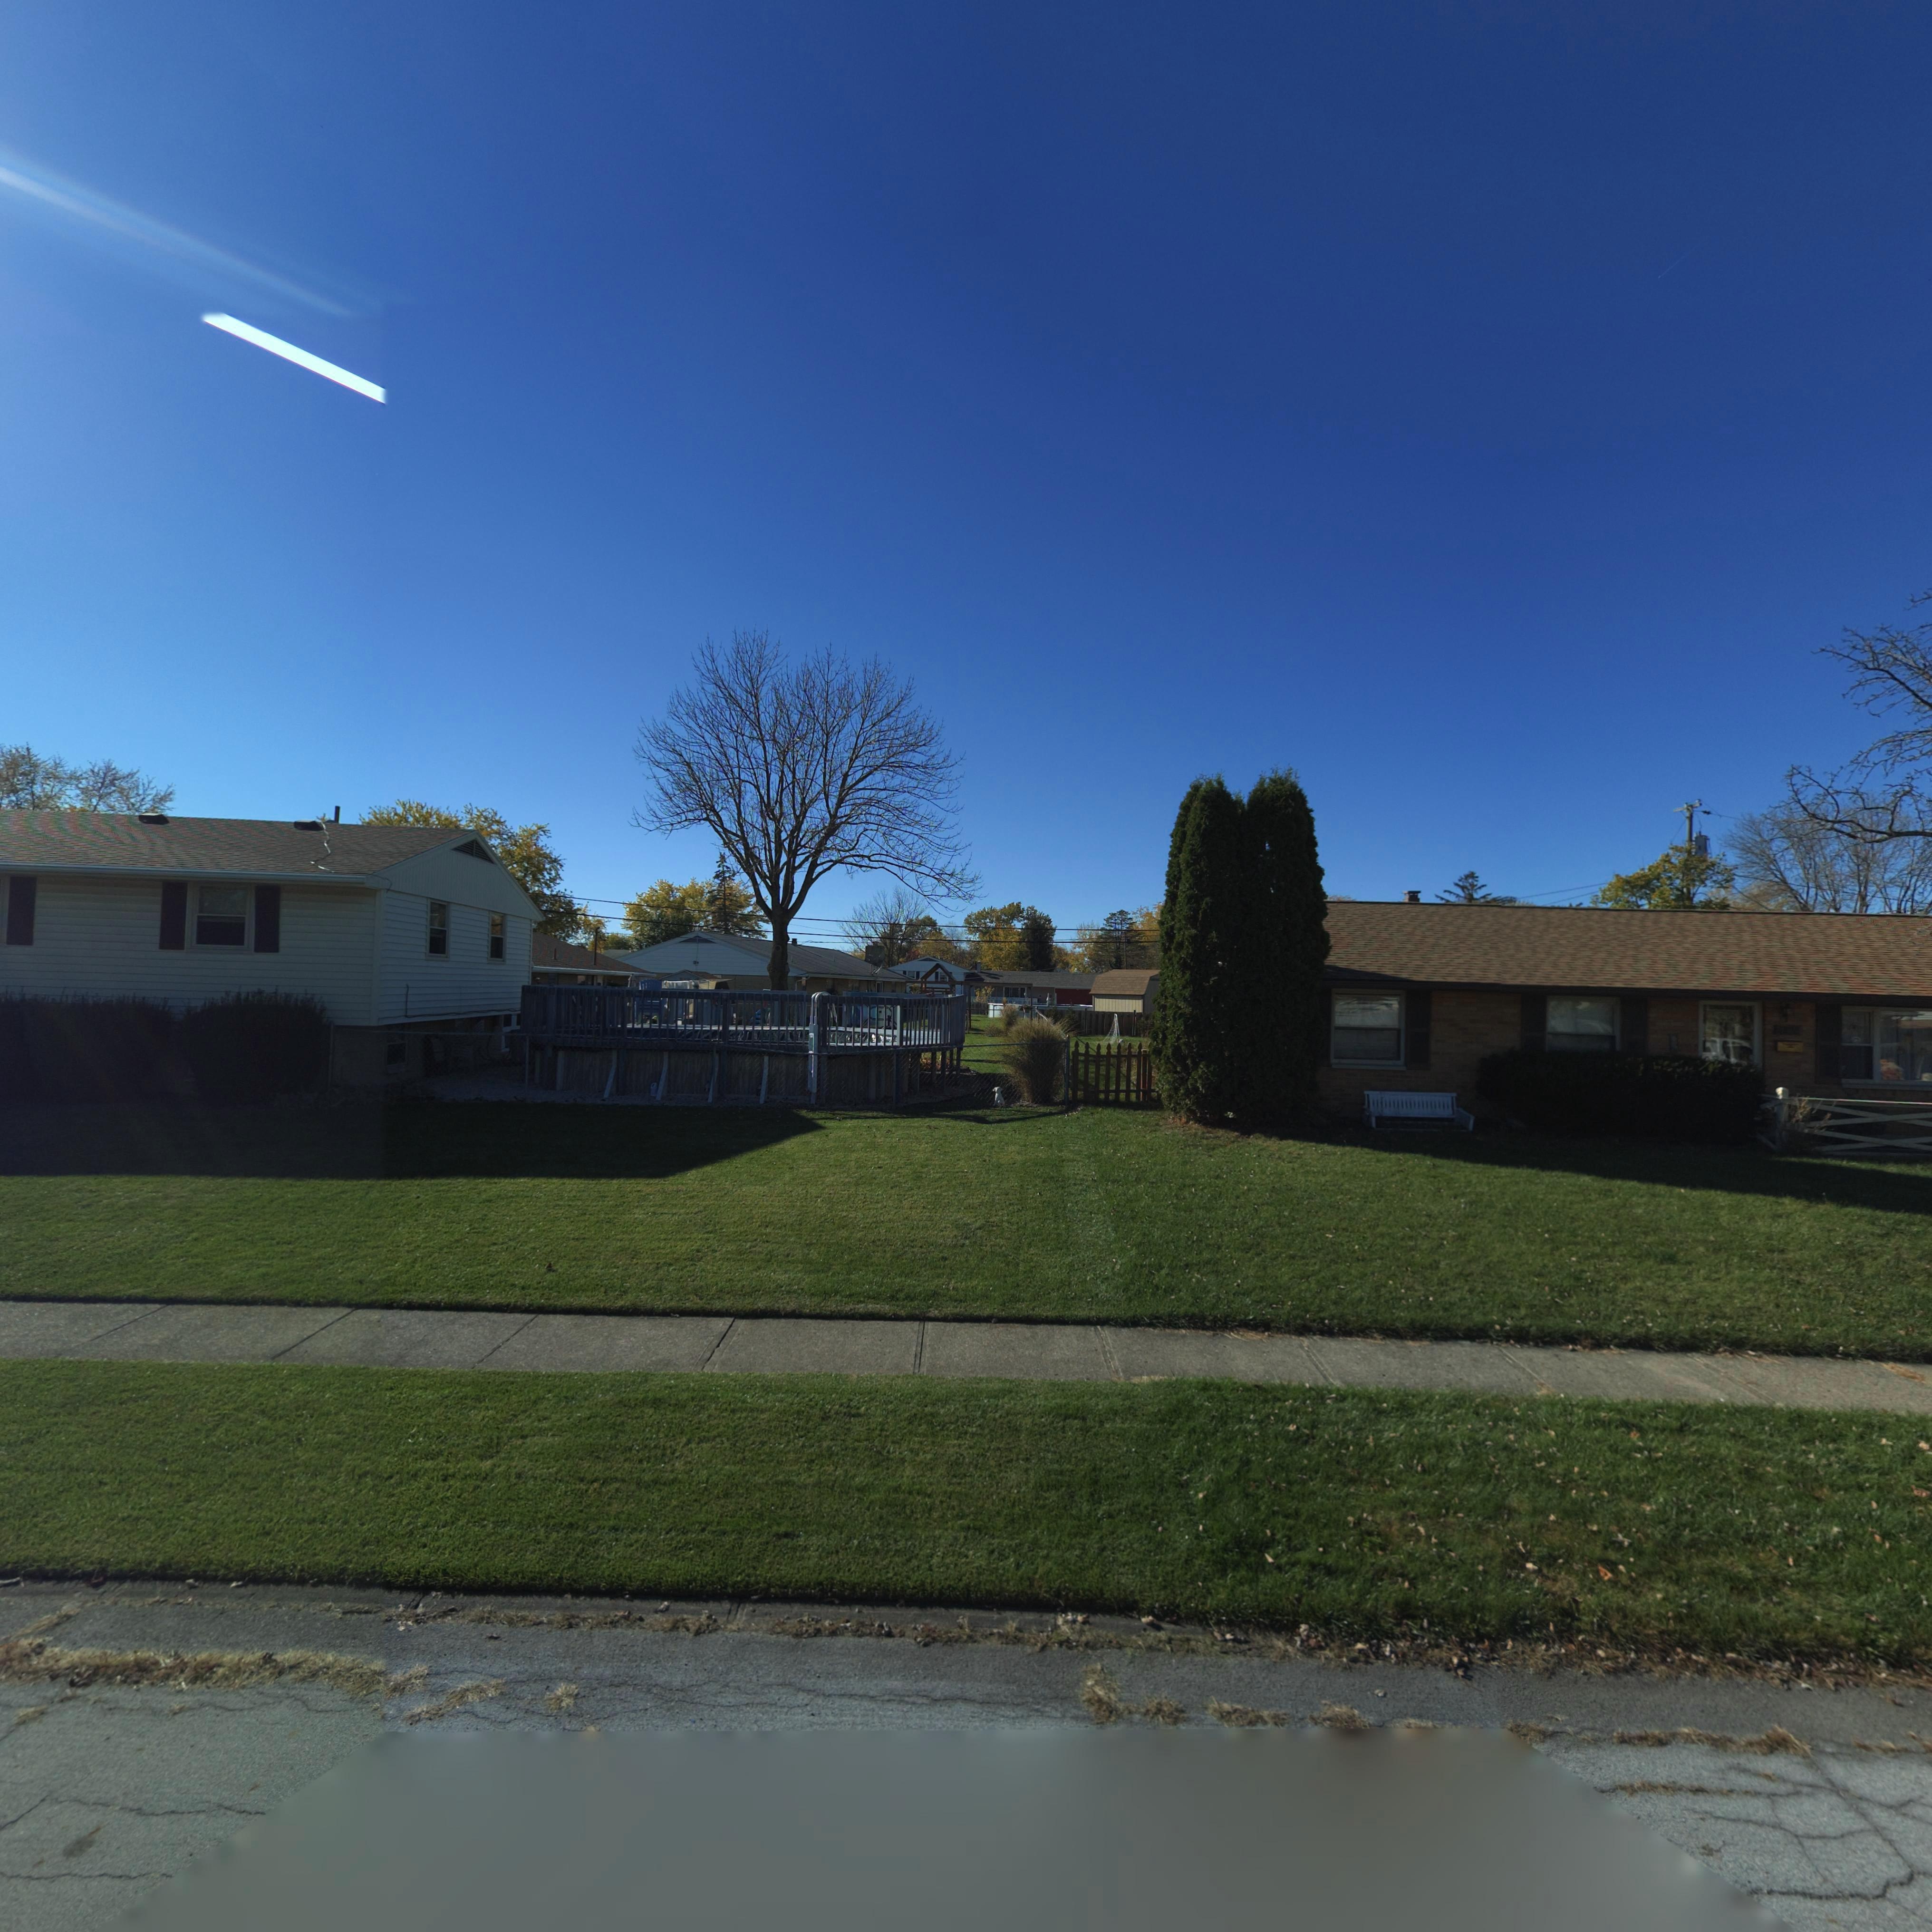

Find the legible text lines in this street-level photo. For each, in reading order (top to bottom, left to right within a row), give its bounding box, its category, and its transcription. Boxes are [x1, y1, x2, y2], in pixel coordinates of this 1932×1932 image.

[1671, 1034, 1678, 1042] StreetNumber: 6